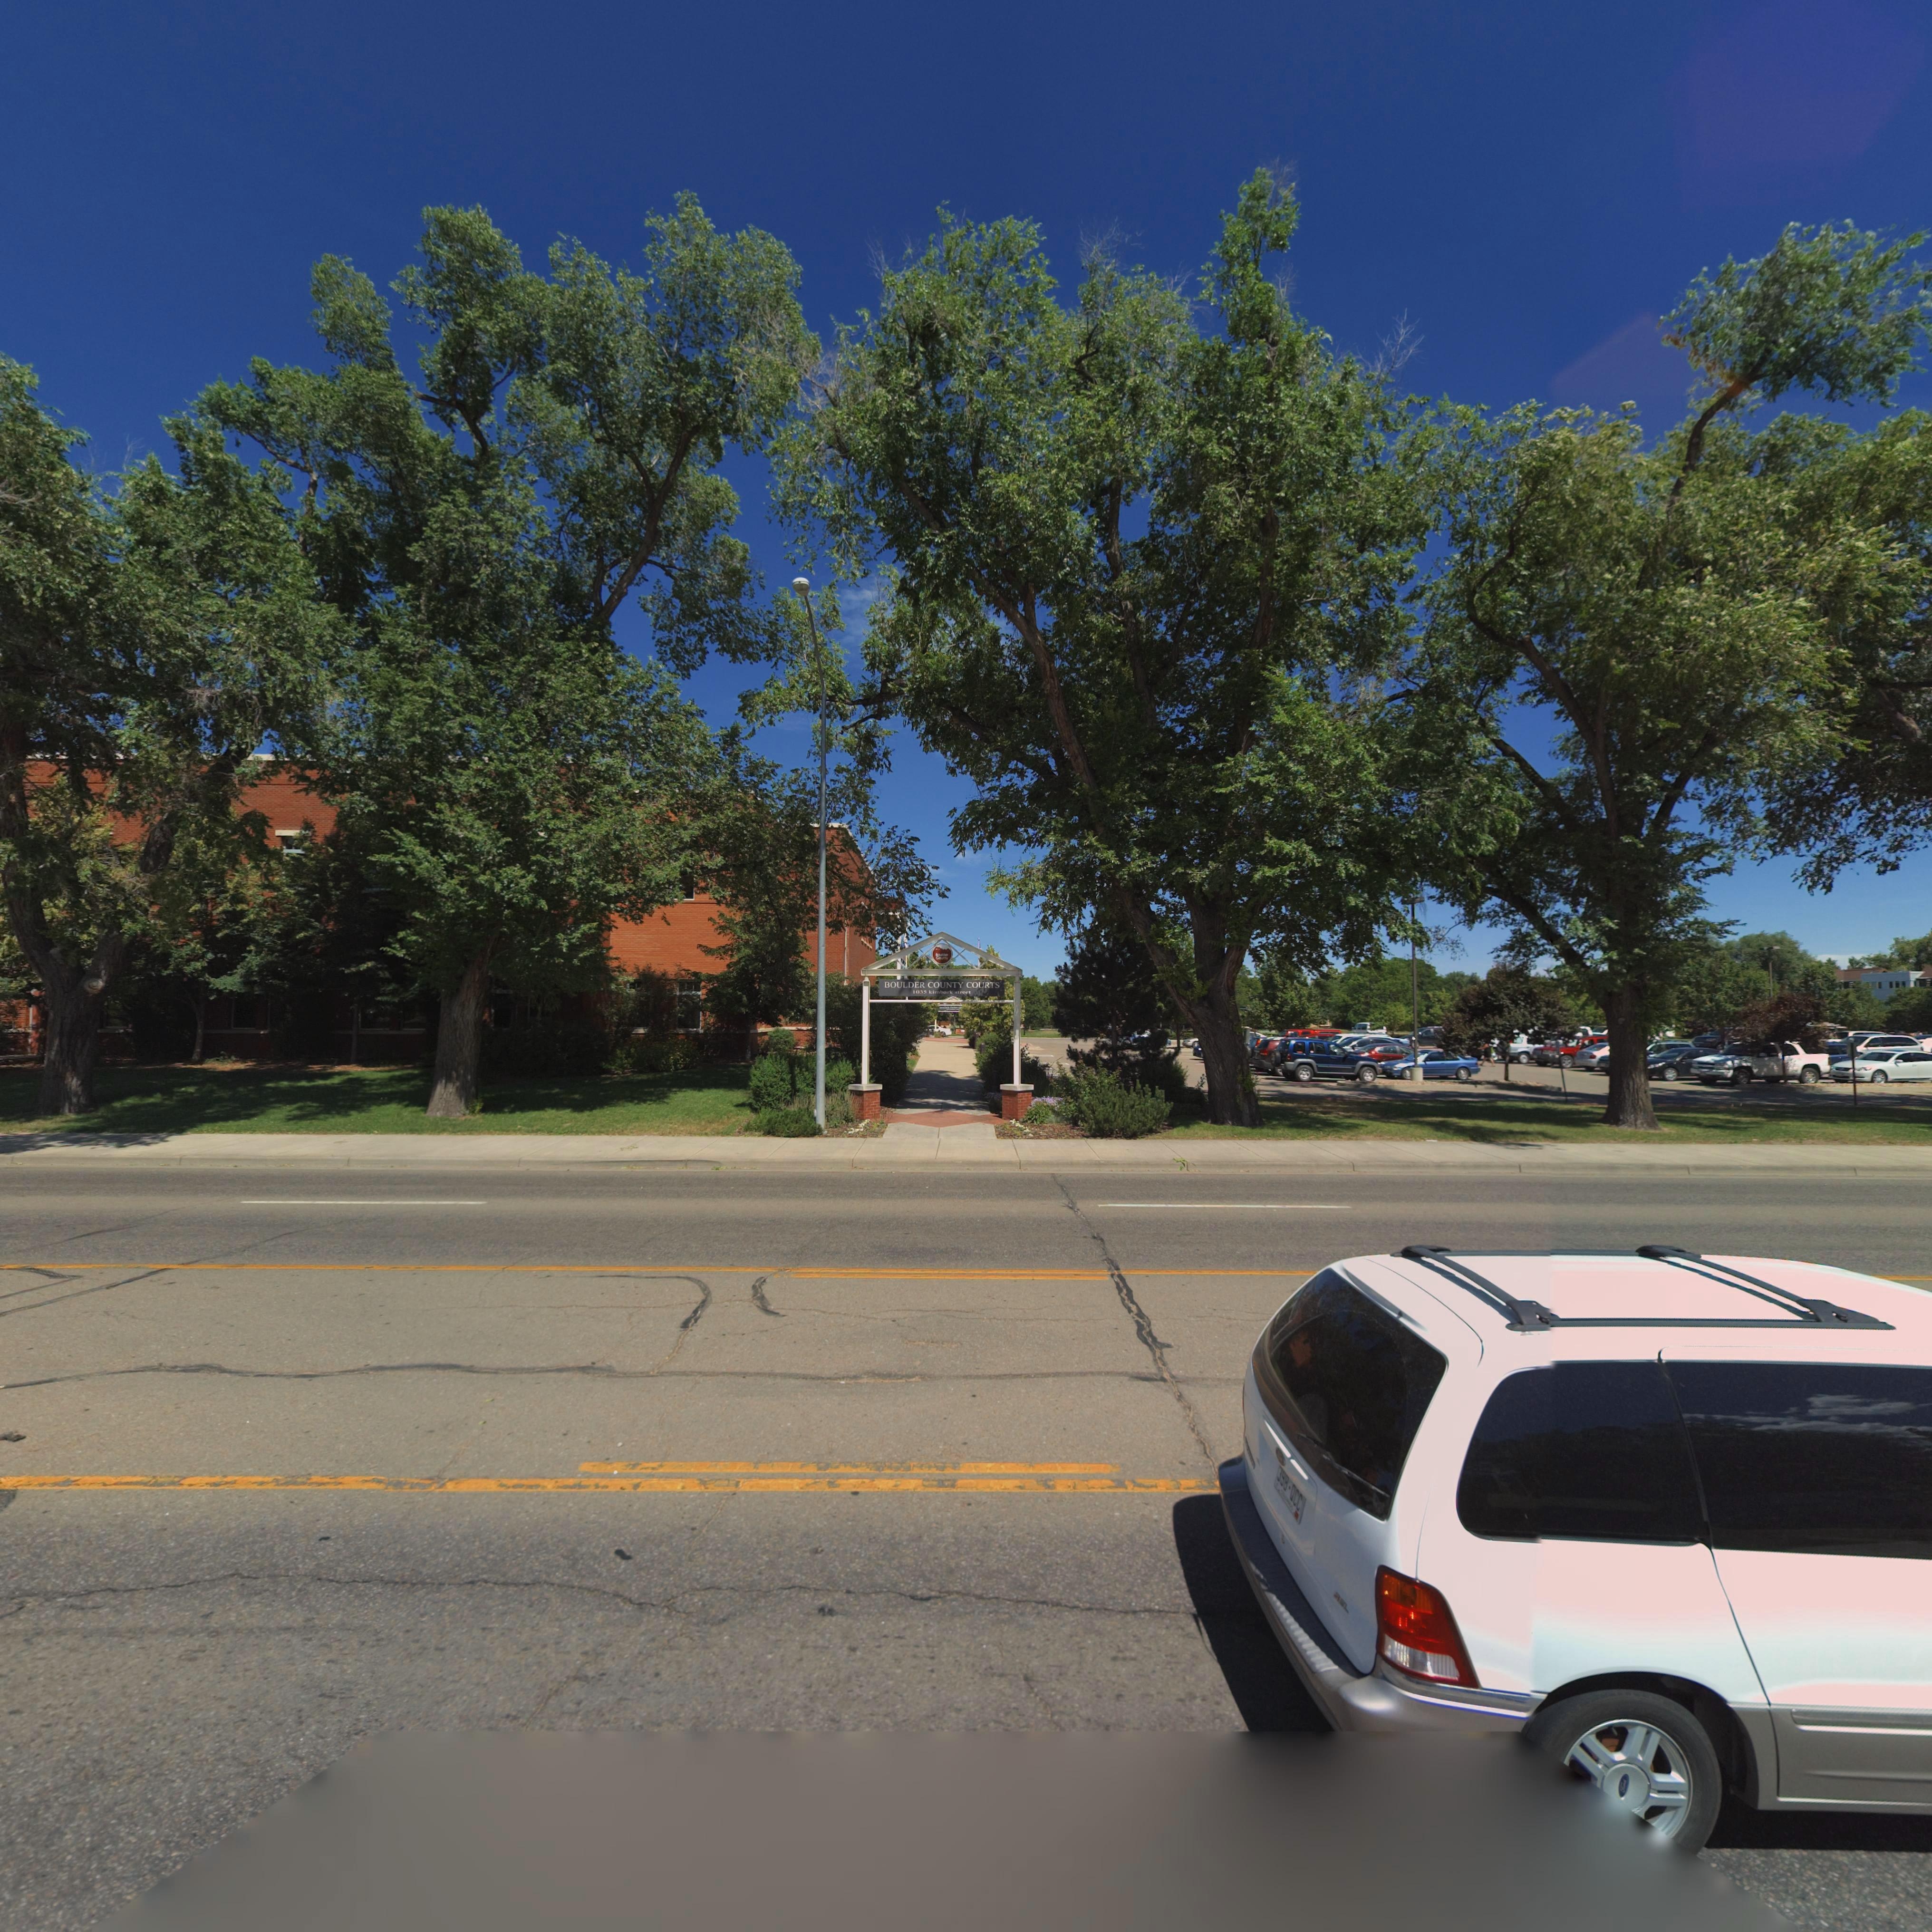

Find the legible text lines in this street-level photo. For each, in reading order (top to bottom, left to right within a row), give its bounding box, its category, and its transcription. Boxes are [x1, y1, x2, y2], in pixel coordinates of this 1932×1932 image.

[884, 981, 999, 988] BusinessName: BOULDER COUNTY COURTS
[913, 989, 927, 994] StreetNumber: 103*
[928, 989, 971, 995] StreetName: kimbark street